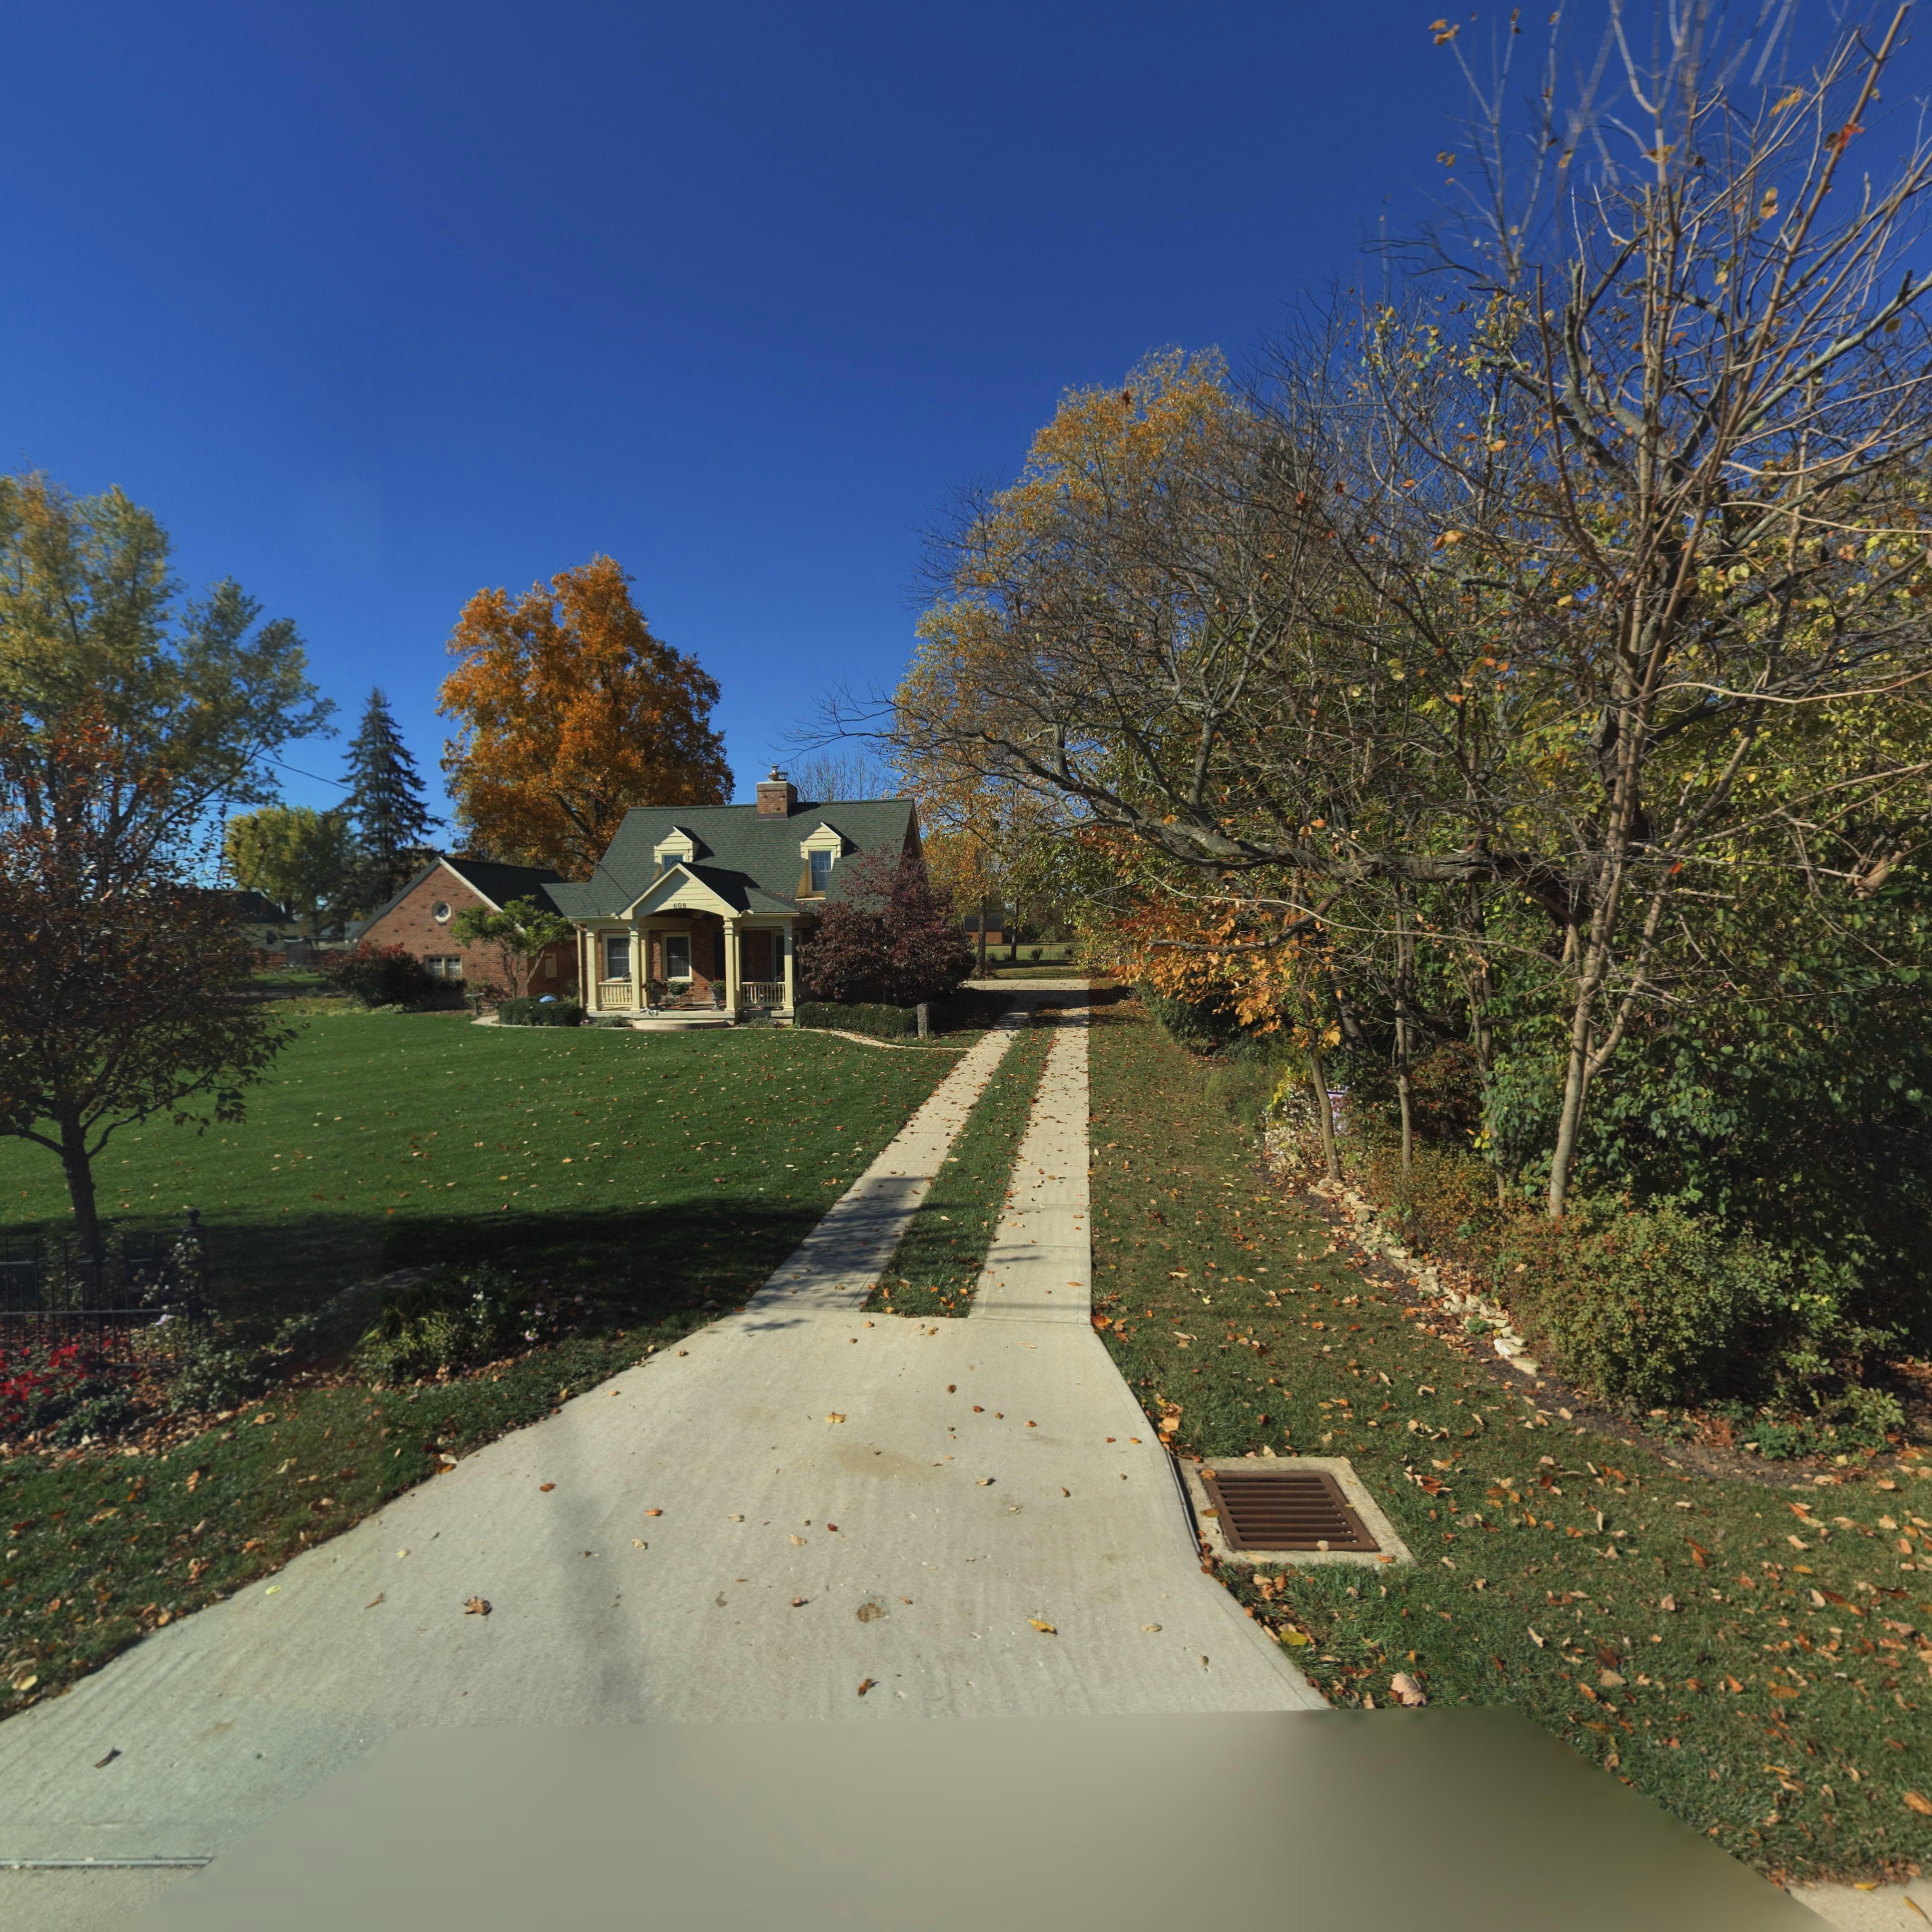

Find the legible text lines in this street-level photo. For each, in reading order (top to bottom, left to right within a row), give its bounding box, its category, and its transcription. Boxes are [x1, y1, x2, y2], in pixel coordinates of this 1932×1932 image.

[673, 902, 686, 909] StreetNumber: 609